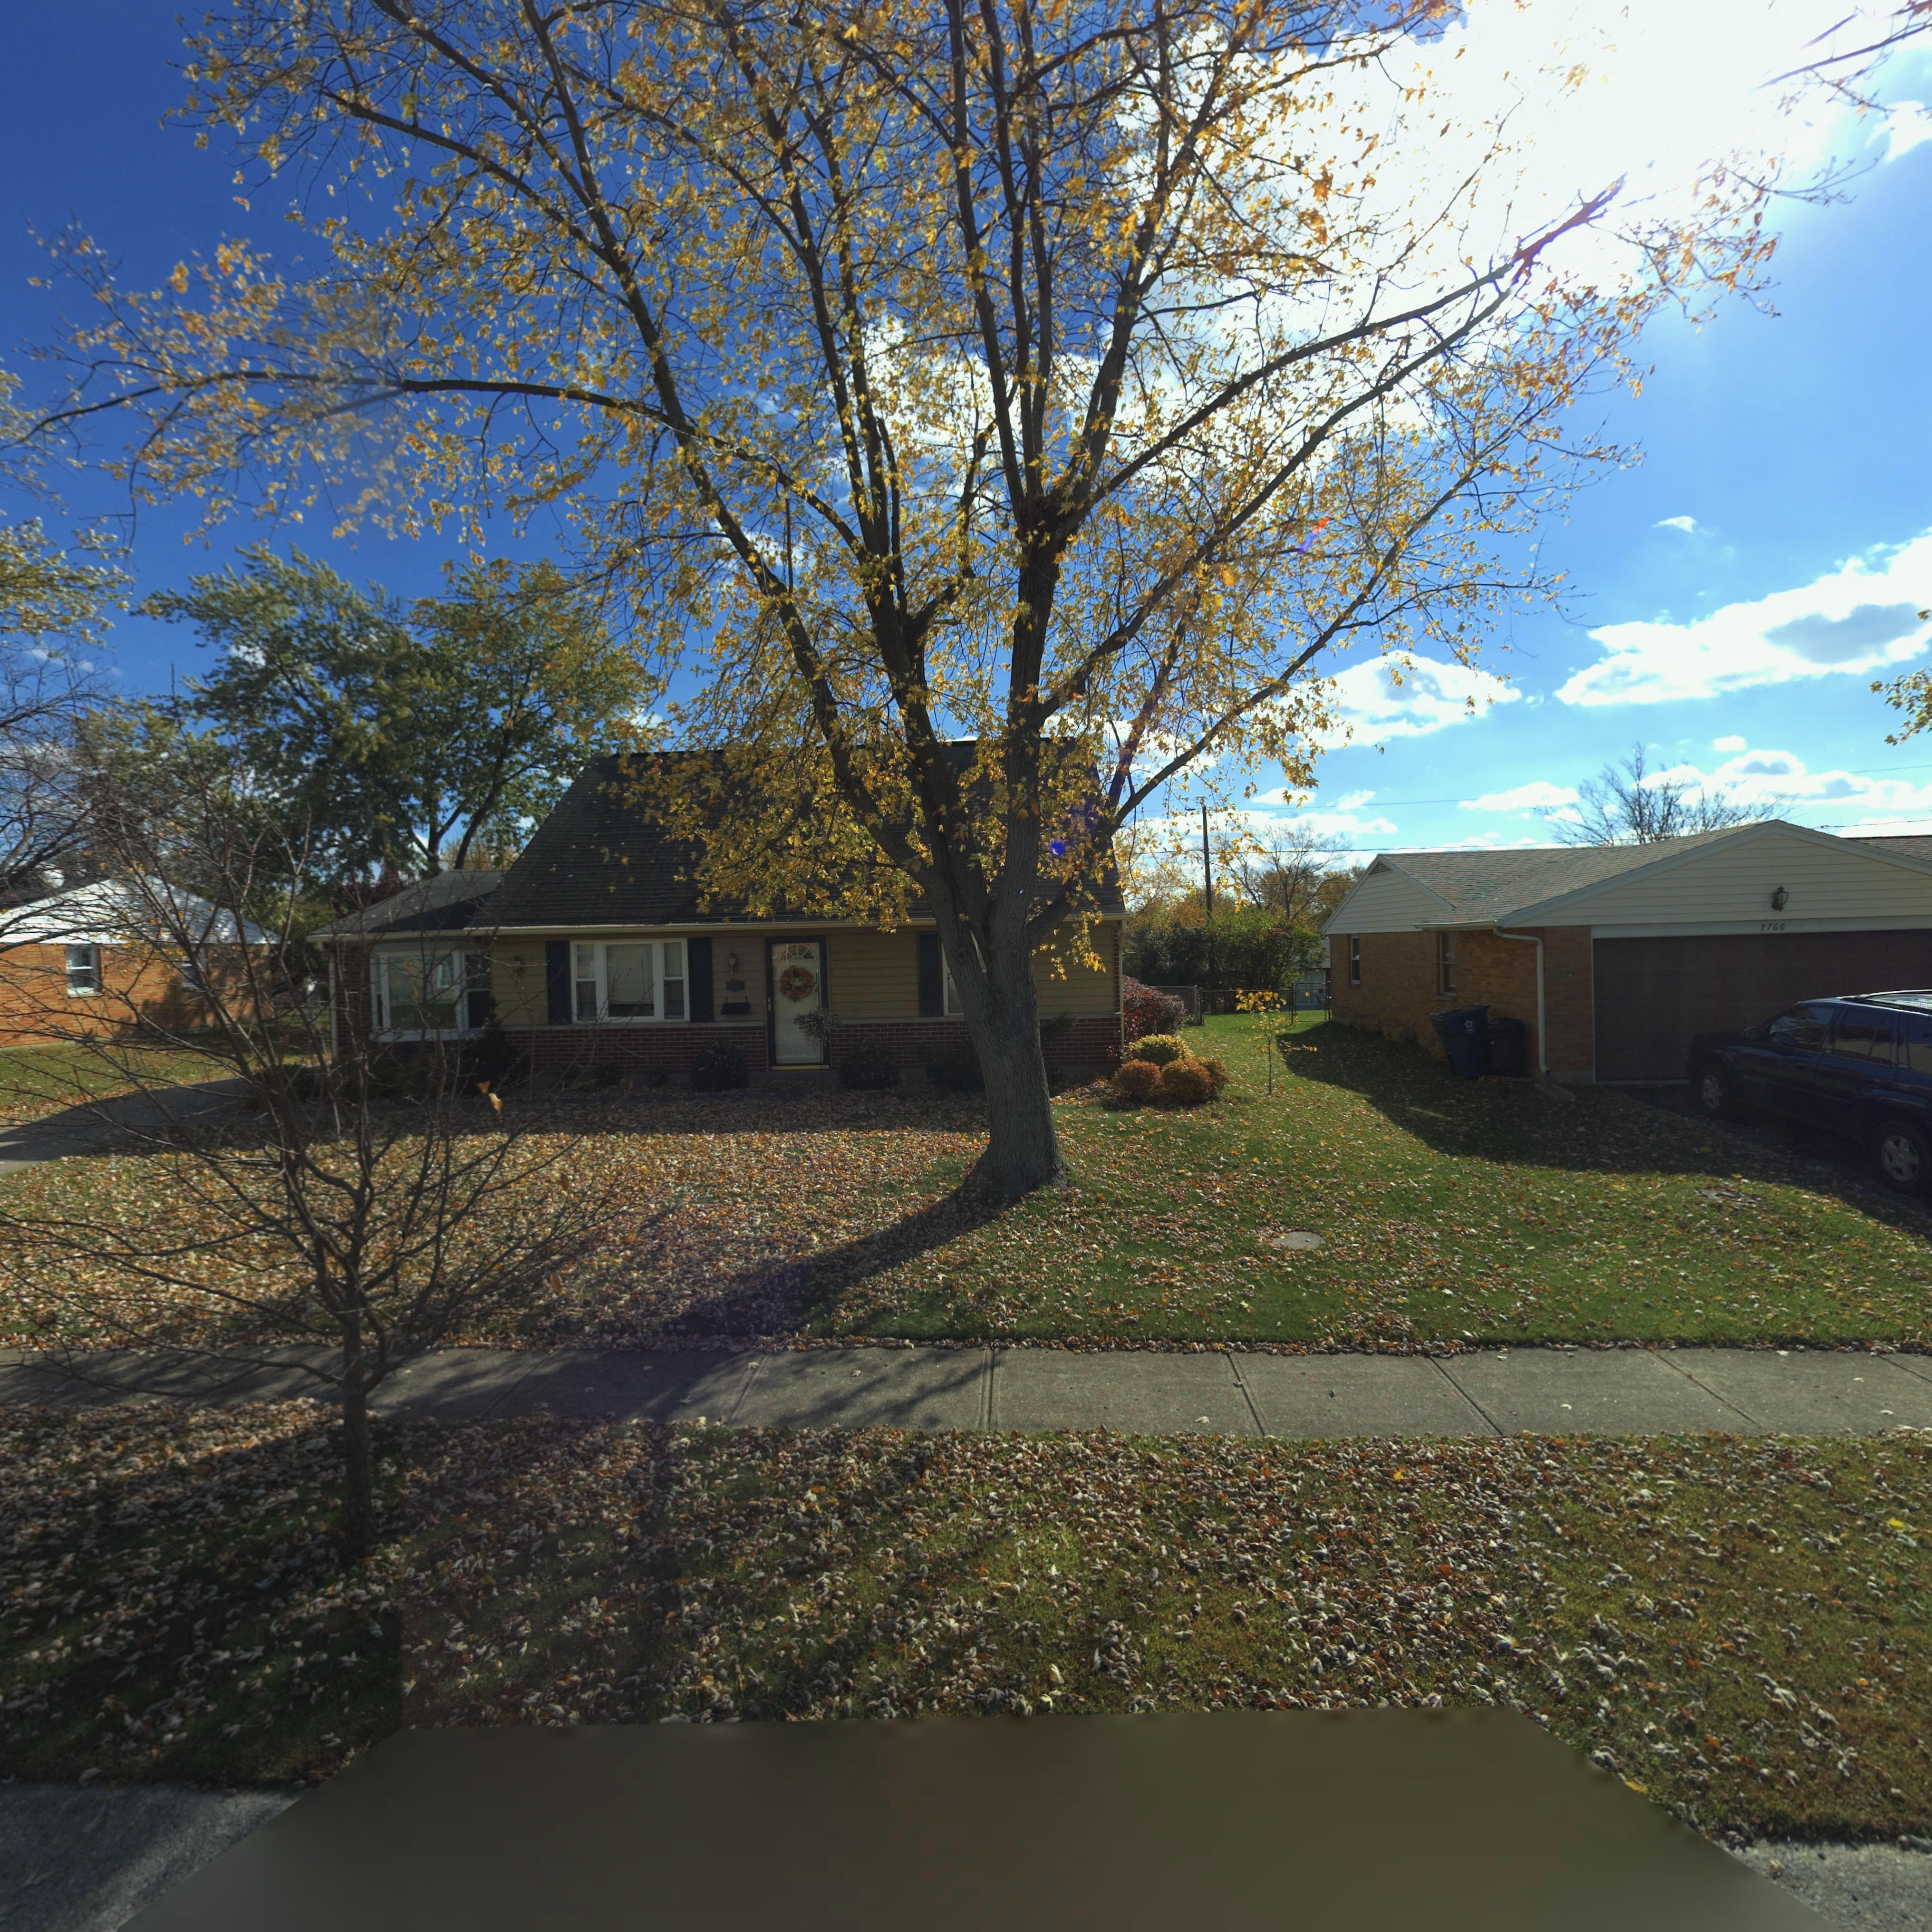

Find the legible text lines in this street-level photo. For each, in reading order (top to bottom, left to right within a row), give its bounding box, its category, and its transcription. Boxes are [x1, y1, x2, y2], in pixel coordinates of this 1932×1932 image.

[1759, 922, 1786, 932] StreetNumber: 7766
[728, 981, 743, 989] StreetNumber: 7772